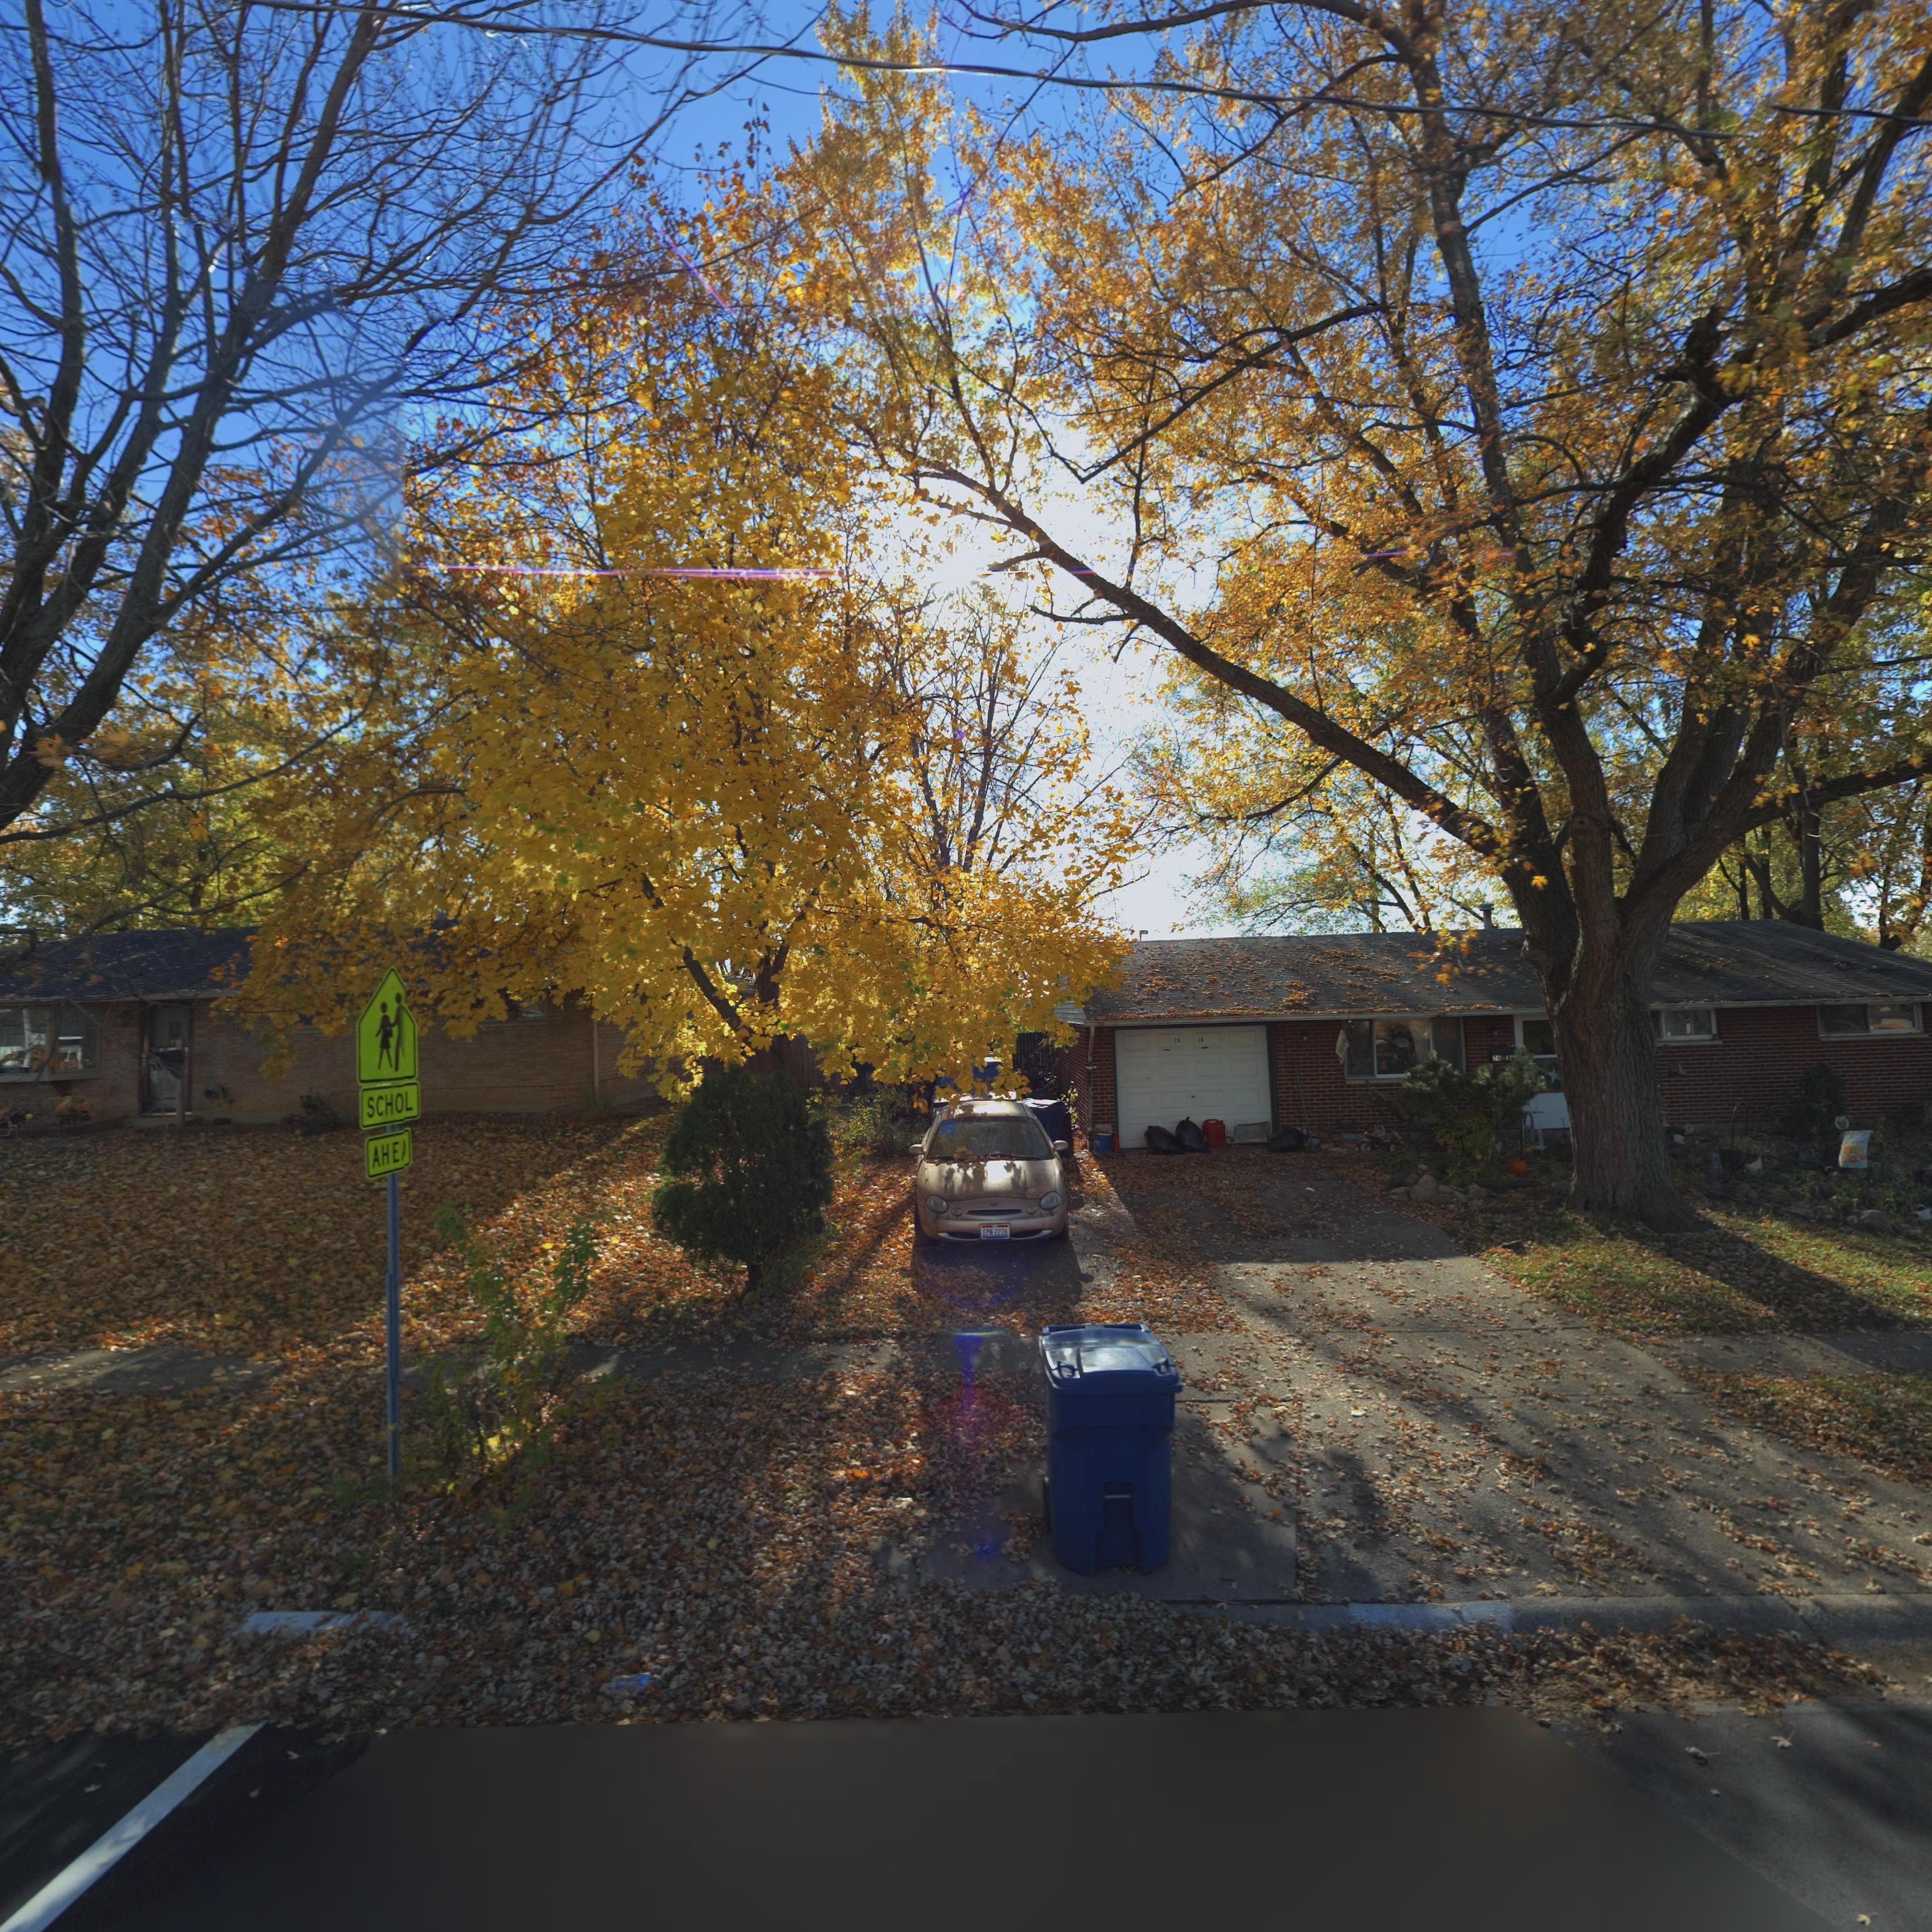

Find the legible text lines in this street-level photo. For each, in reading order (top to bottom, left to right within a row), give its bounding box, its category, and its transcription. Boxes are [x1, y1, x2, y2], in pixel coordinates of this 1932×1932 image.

[1173, 1036, 1204, 1044] StreetNumber: 7**1*
[1491, 1054, 1502, 1062] StreetNumber: 7*